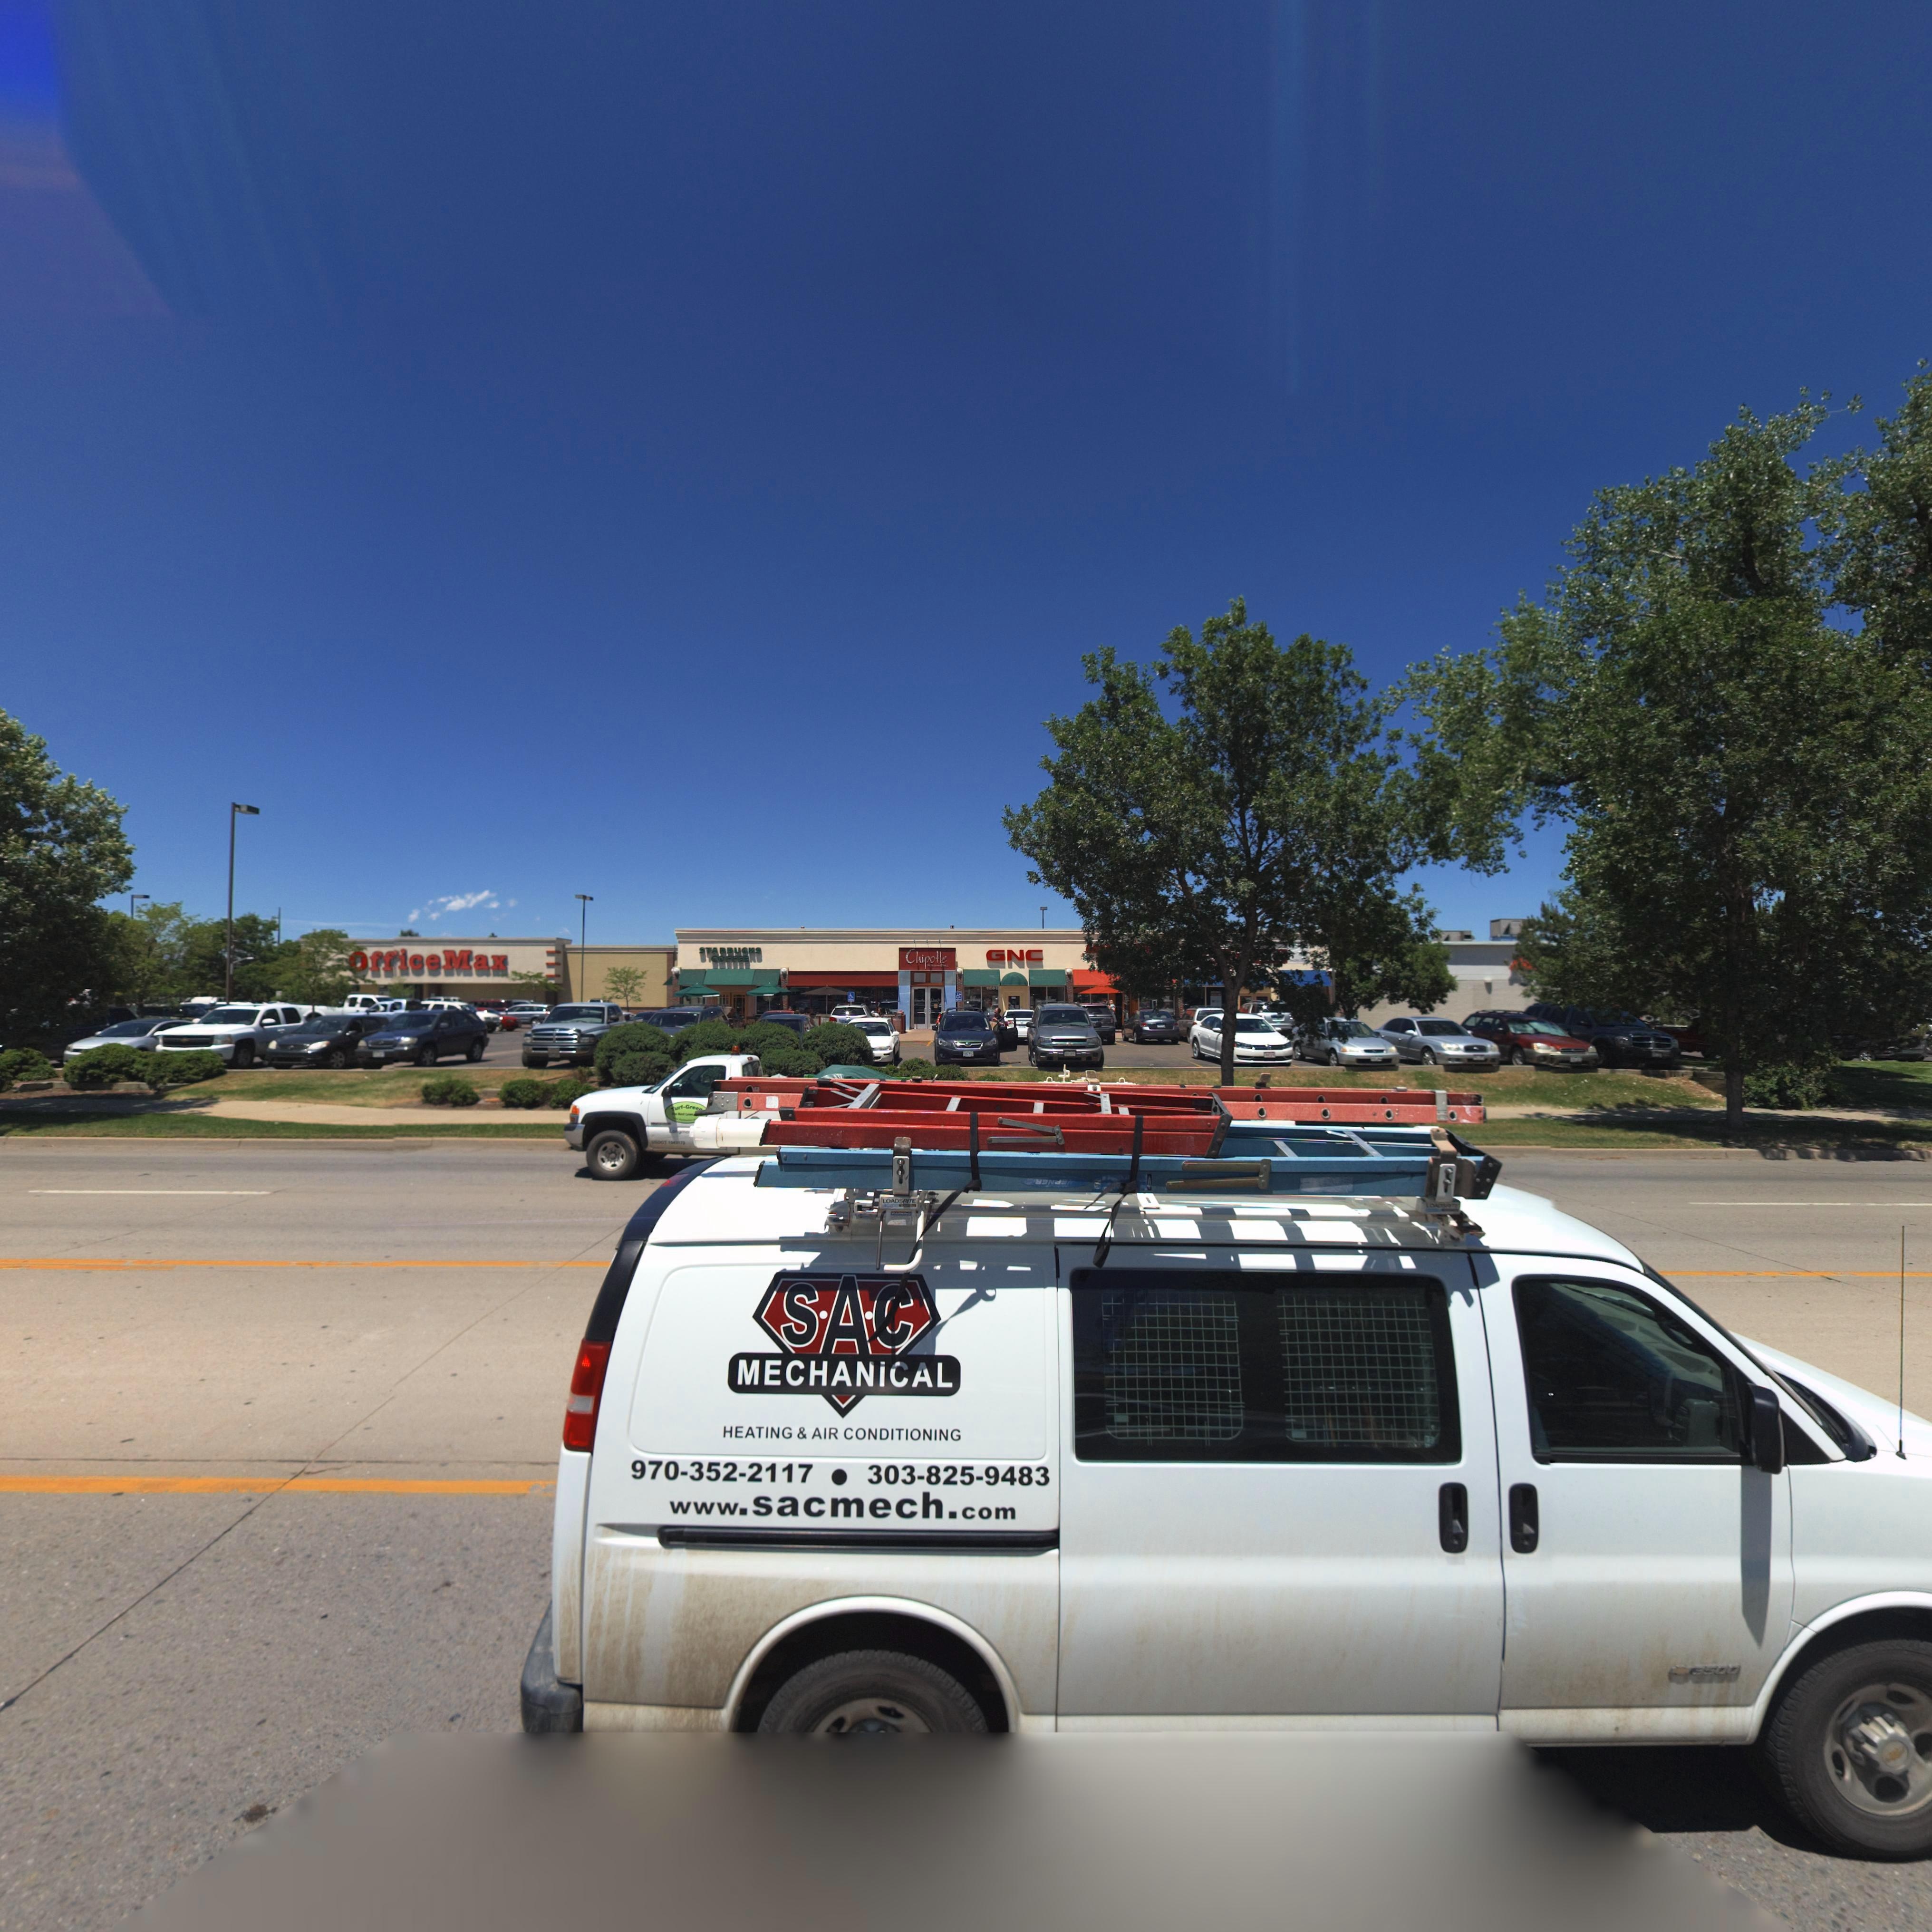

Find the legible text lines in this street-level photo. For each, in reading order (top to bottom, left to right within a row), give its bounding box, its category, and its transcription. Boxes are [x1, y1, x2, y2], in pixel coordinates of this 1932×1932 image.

[349, 948, 508, 972] BusinessName: OfficeMax
[710, 956, 748, 962] BusinessName: COFFEE
[699, 947, 761, 954] BusinessName: STARBUCKS
[905, 948, 947, 969] BusinessName: Chipotle
[985, 949, 1043, 961] StreetNumber: GNC
[986, 986, 995, 990] StreetNumber: 1100